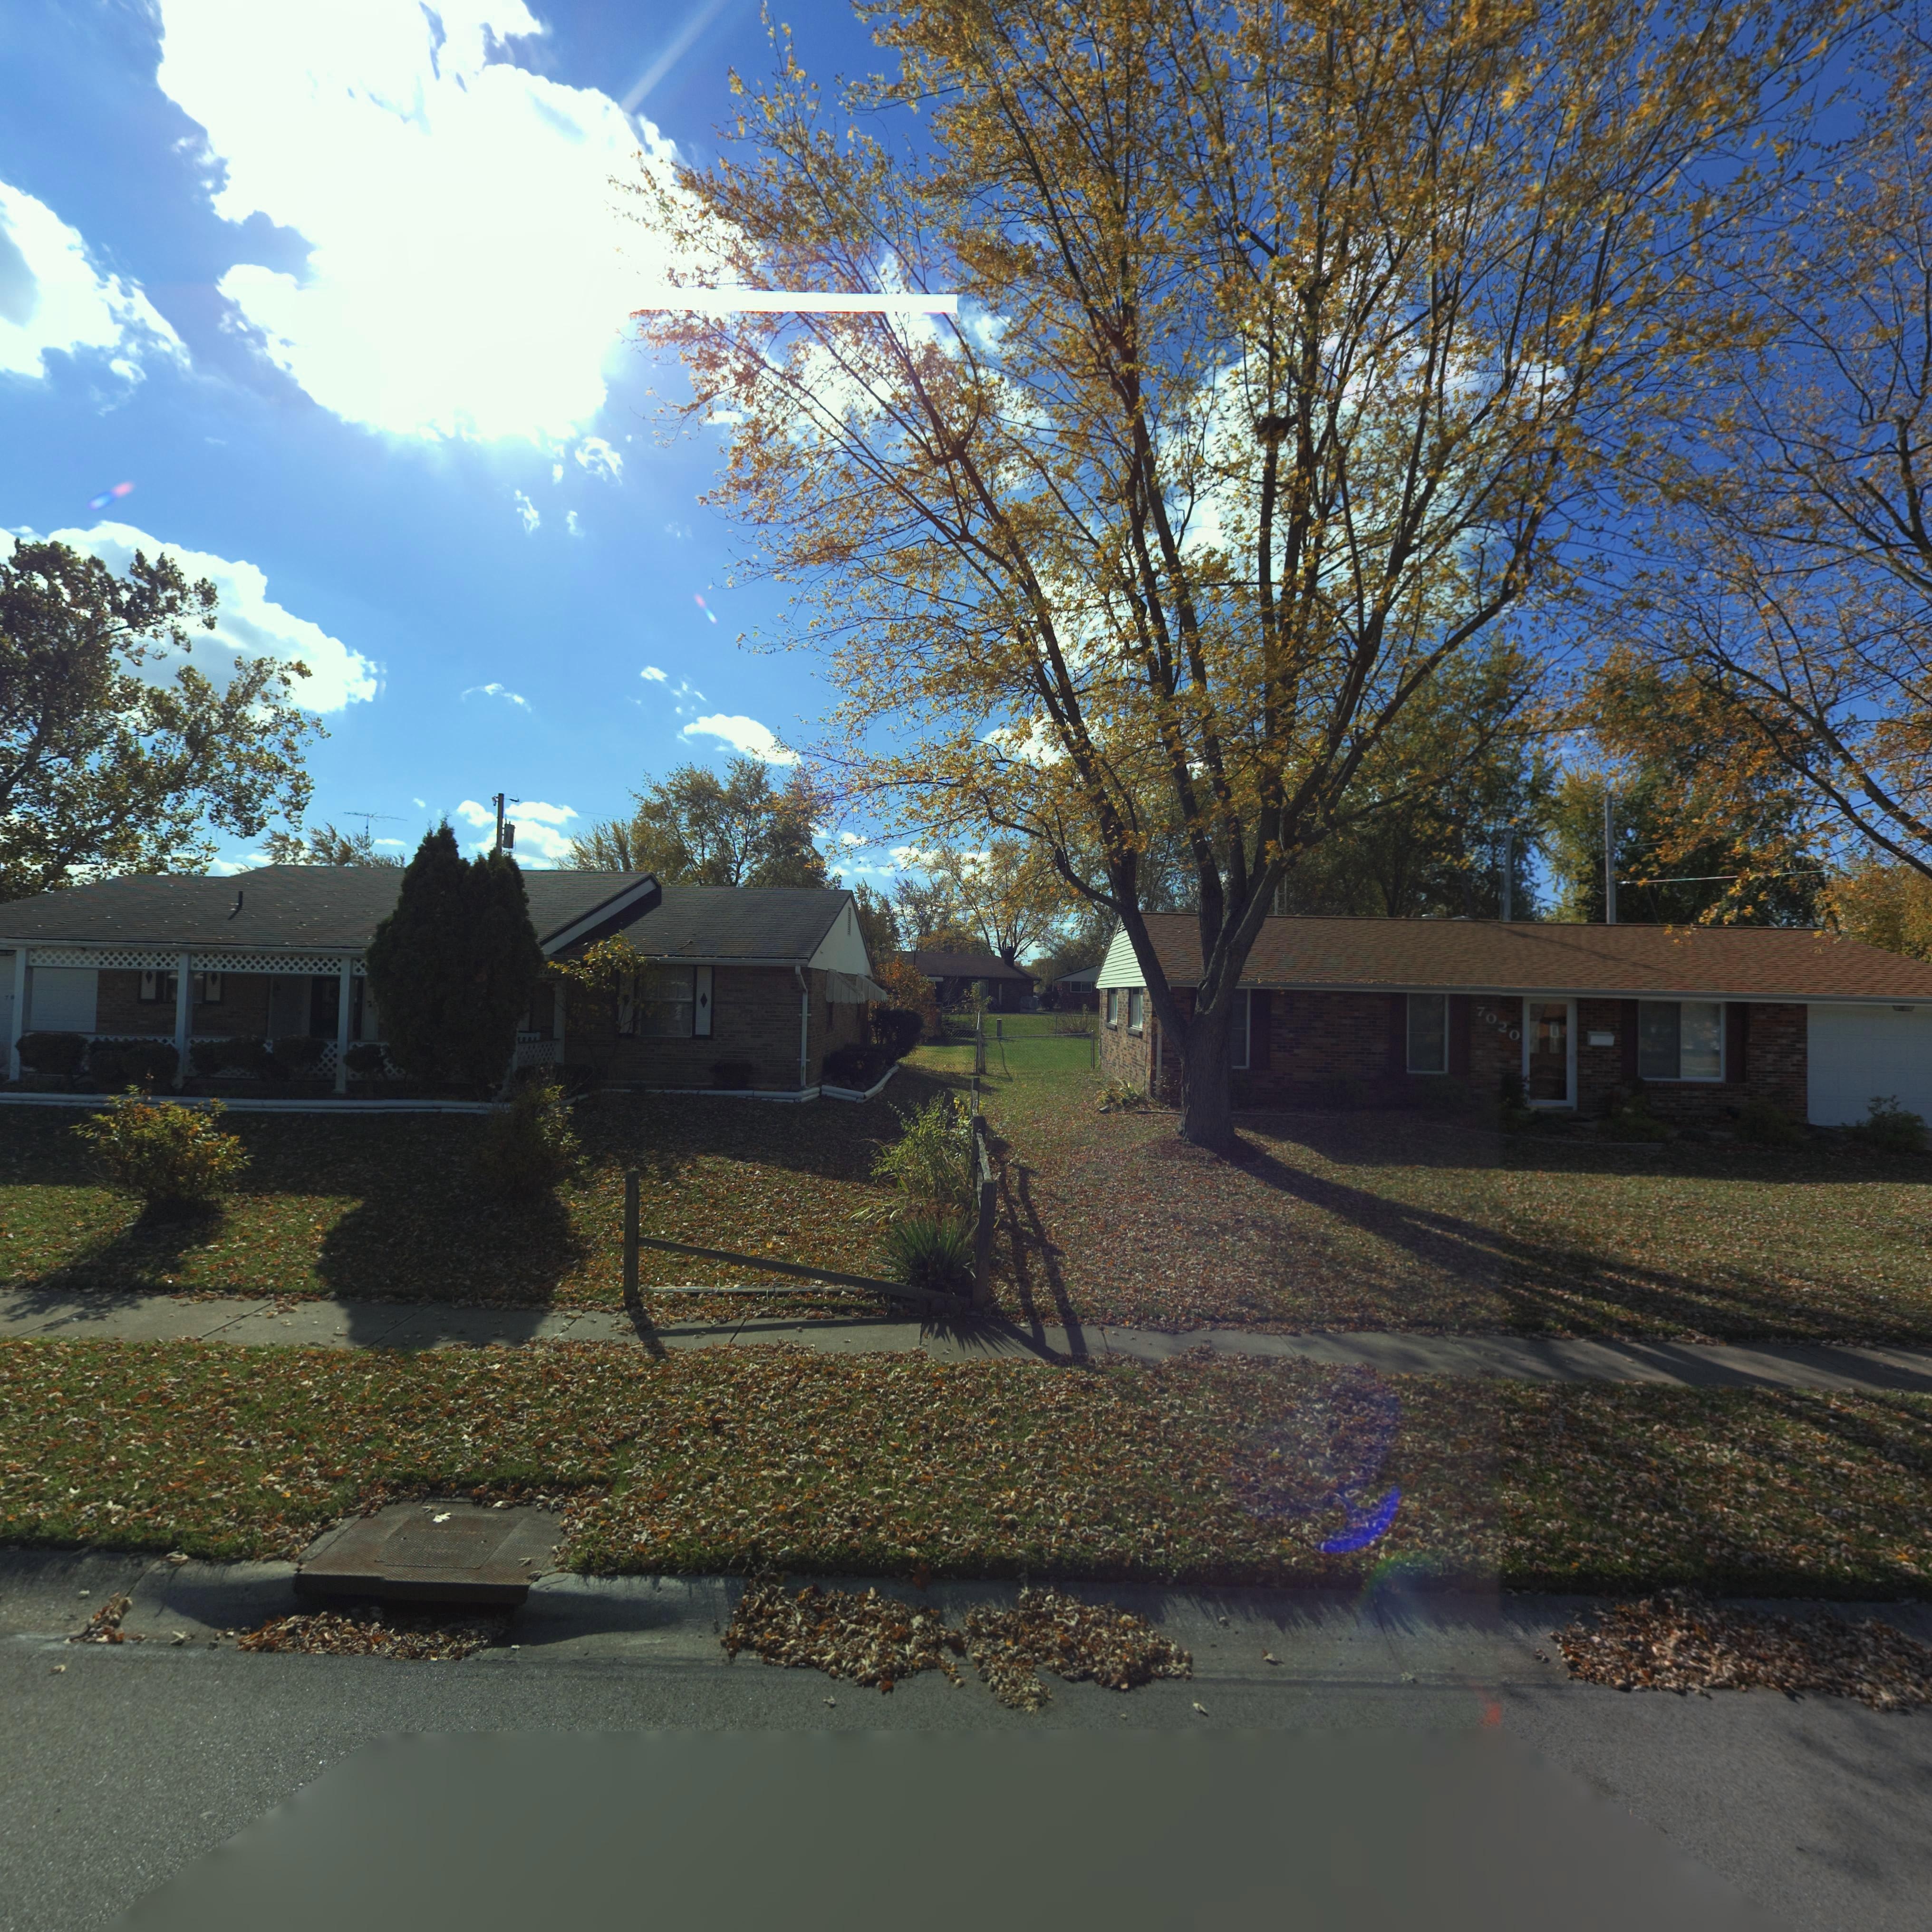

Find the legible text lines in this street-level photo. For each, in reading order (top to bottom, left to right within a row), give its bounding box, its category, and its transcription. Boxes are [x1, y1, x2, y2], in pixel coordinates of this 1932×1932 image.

[1475, 1005, 1521, 1043] StreetNumber: 7020